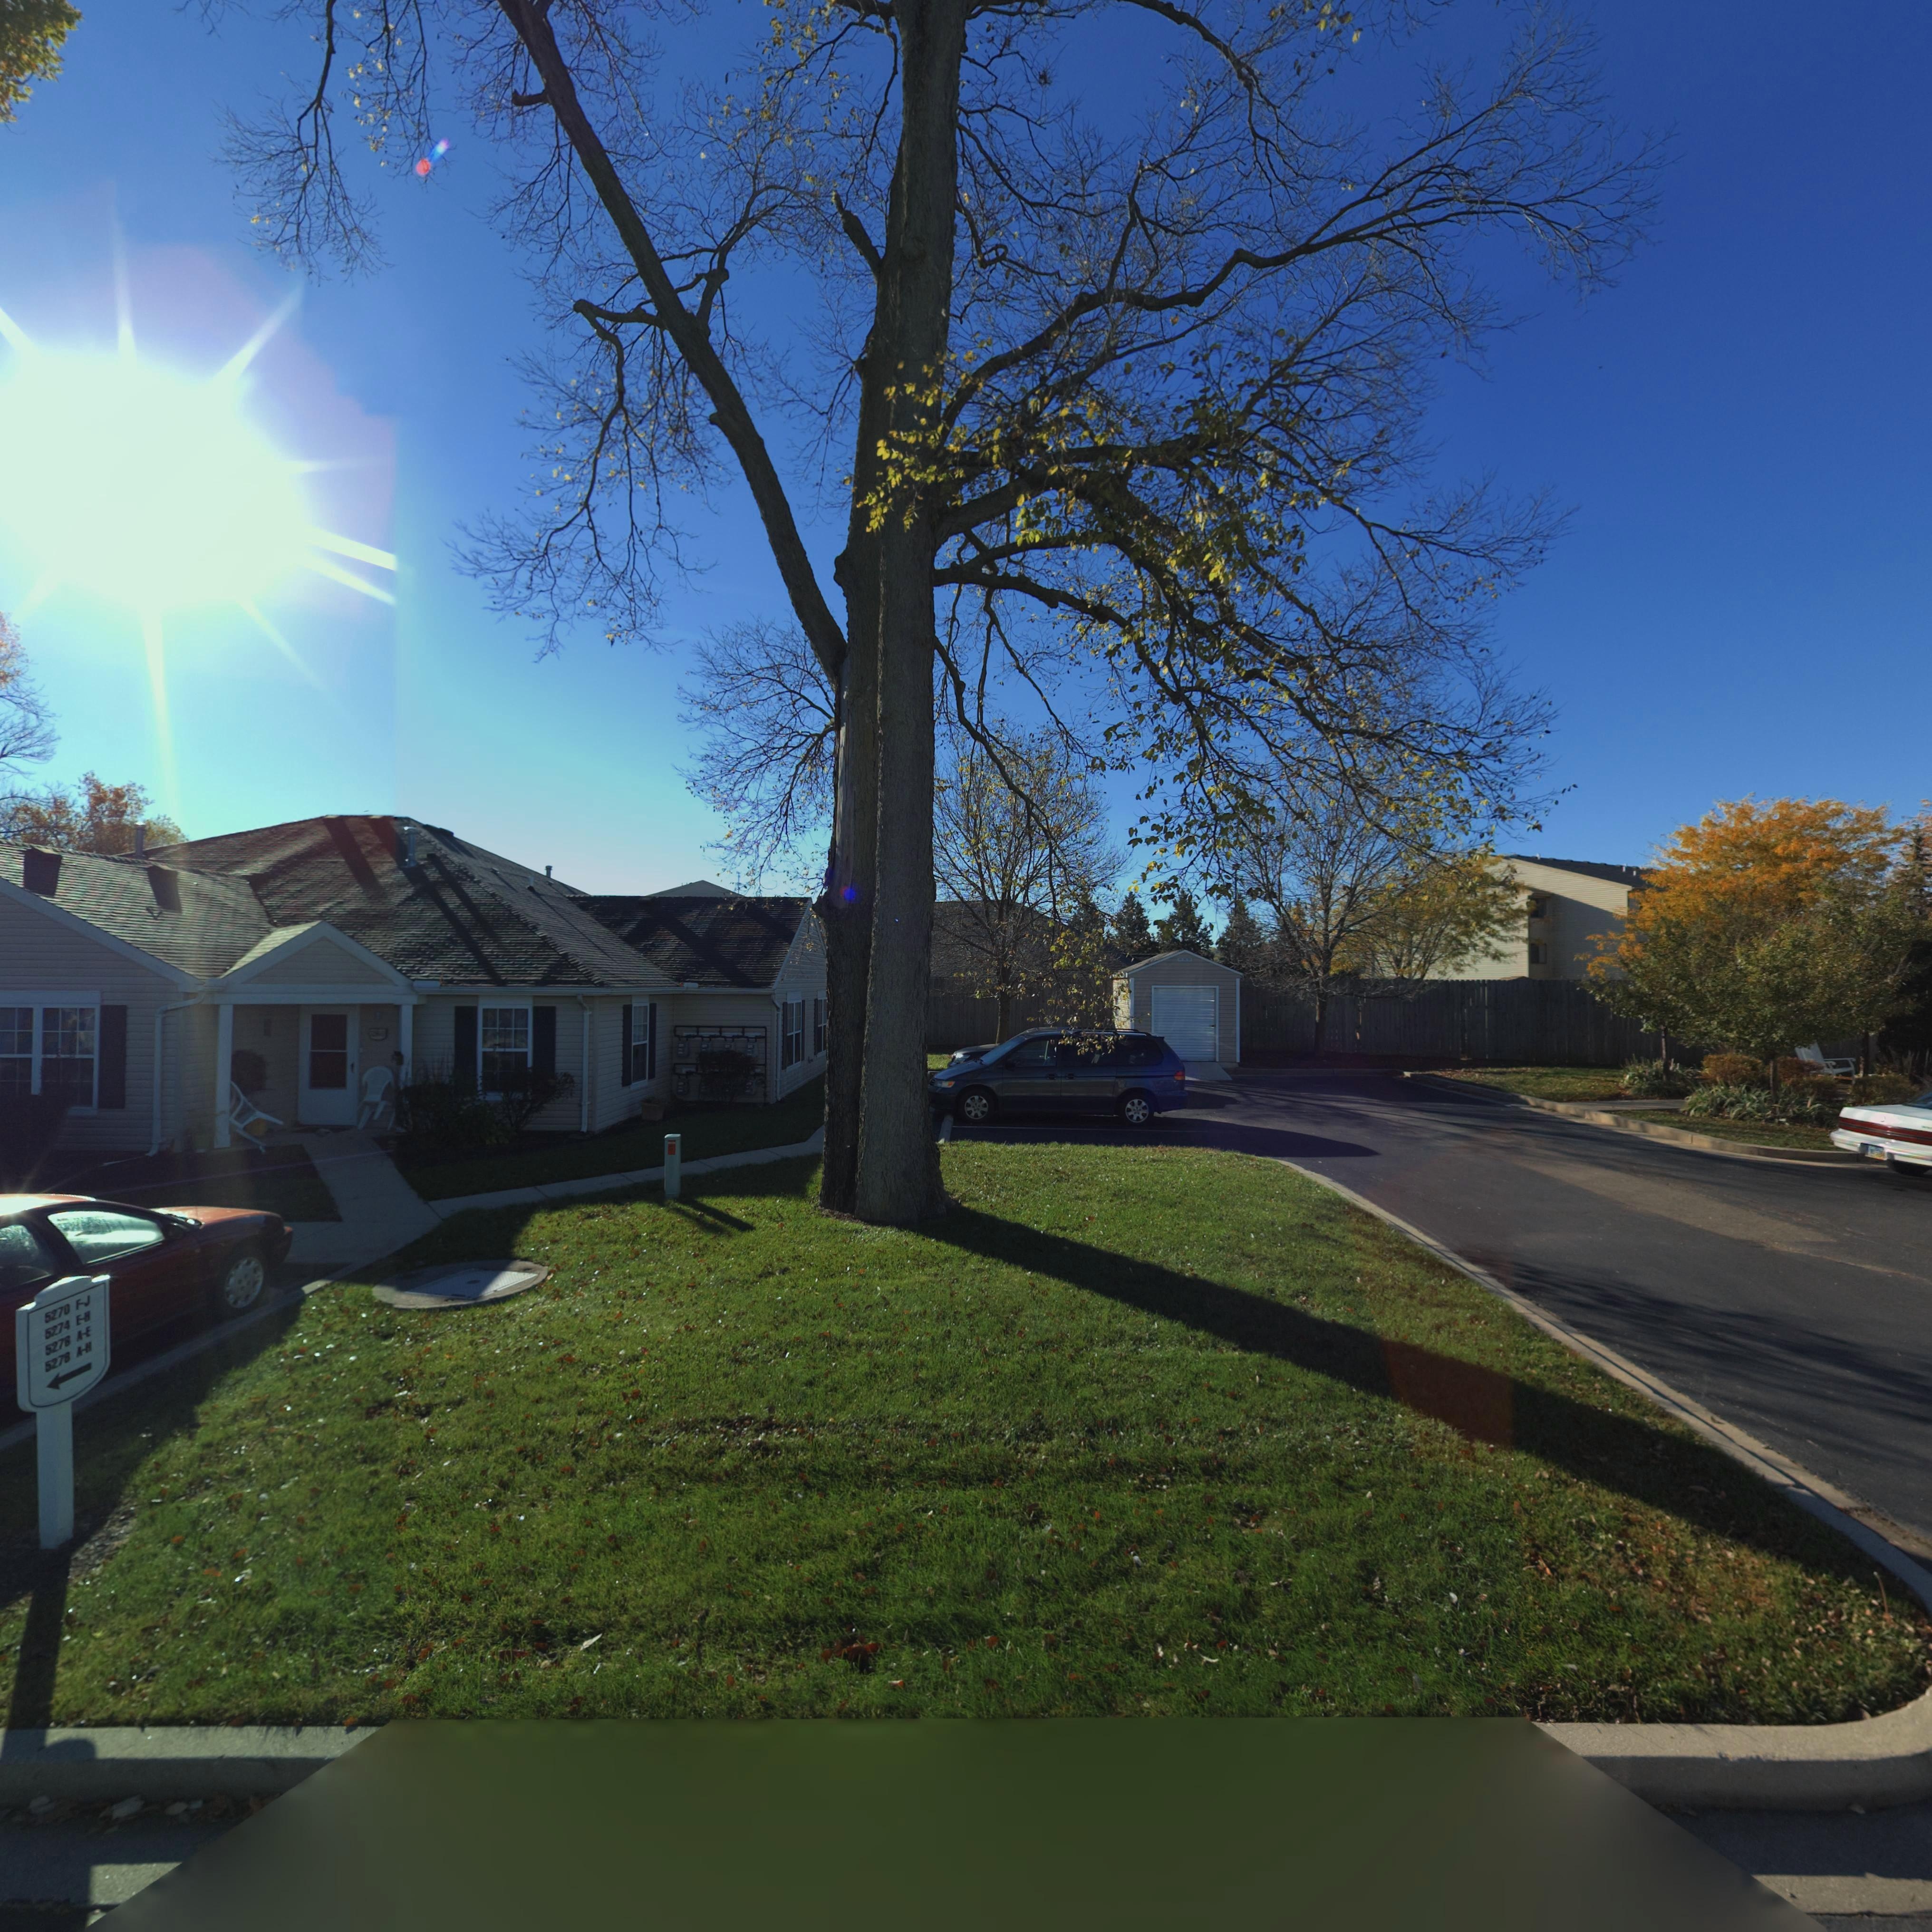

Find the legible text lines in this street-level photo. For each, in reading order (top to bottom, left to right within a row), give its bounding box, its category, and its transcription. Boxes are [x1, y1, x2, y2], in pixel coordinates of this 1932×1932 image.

[42, 1294, 92, 1325] StreetNumber: 5270 F-J
[43, 1308, 92, 1342] StreetNumber: 5274 E-H
[43, 1323, 92, 1357] StreetNumber: 5278 A-E
[43, 1339, 93, 1374] StreetNumber: 5278 A-H